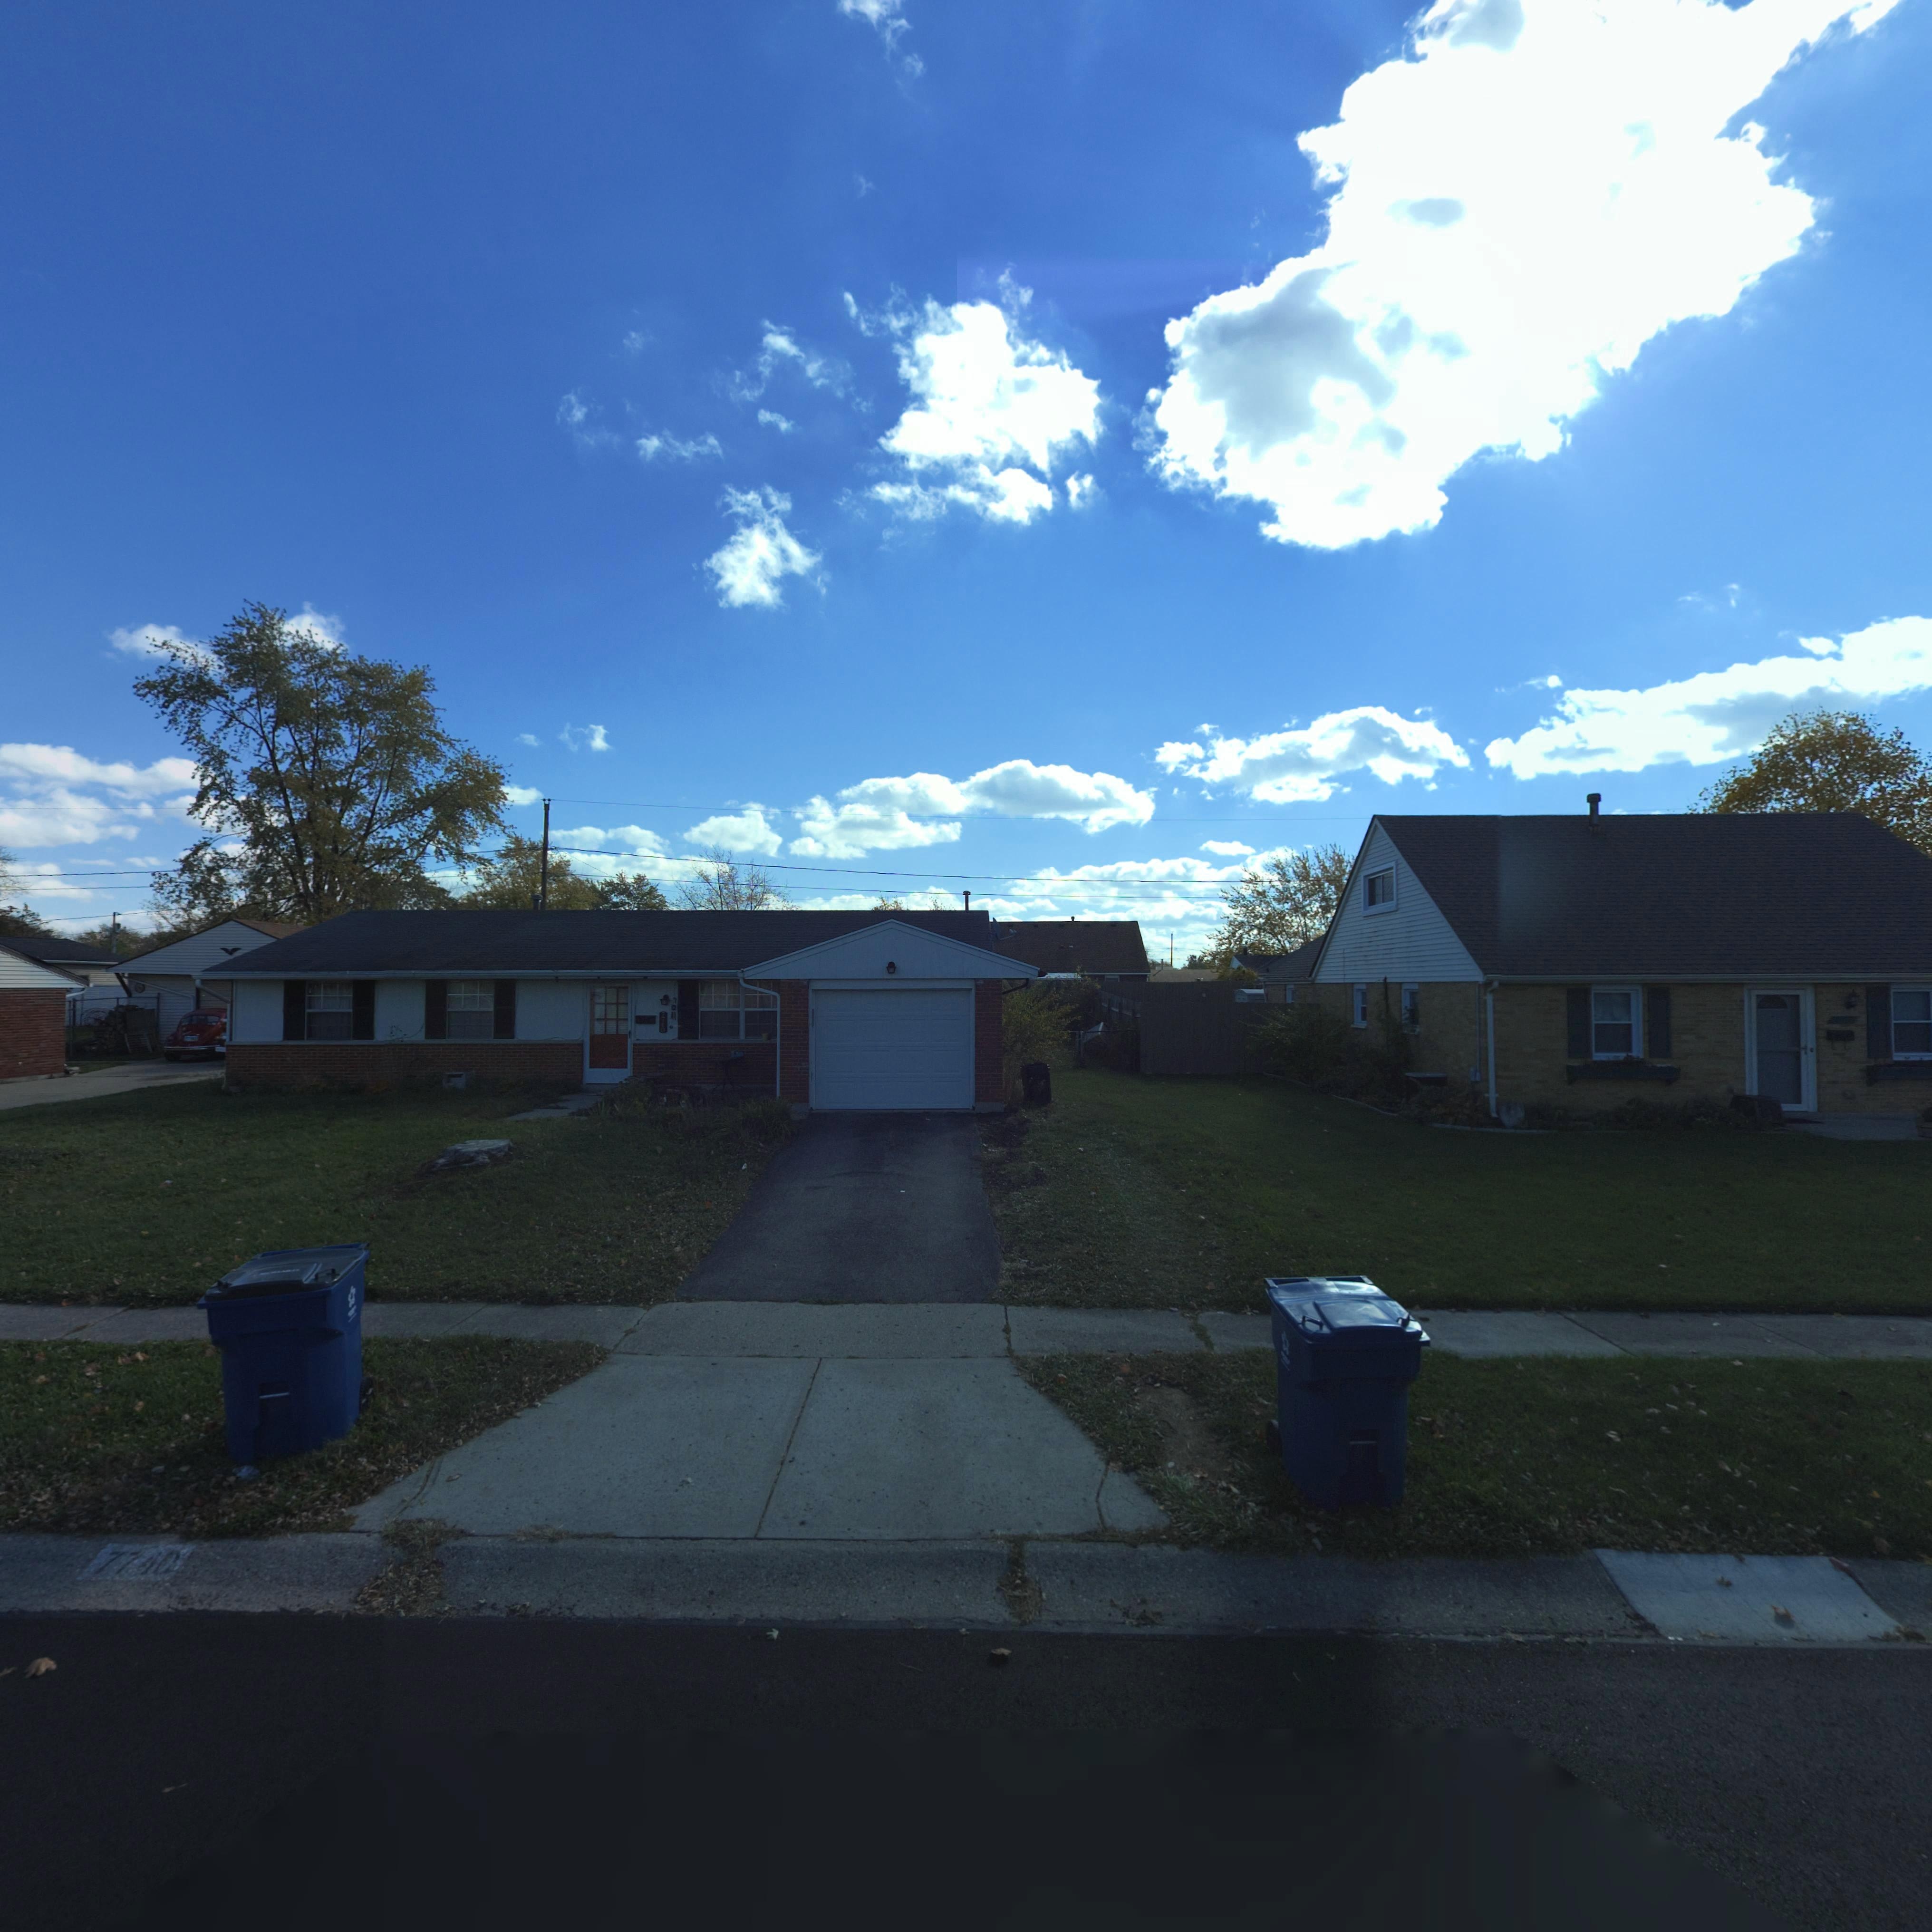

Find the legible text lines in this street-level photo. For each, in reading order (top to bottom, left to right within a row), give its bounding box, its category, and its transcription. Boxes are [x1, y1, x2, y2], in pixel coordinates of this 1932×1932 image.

[659, 1011, 666, 1034] StreetNumber: 7740
[90, 1549, 183, 1578] StreetNumber: 7740